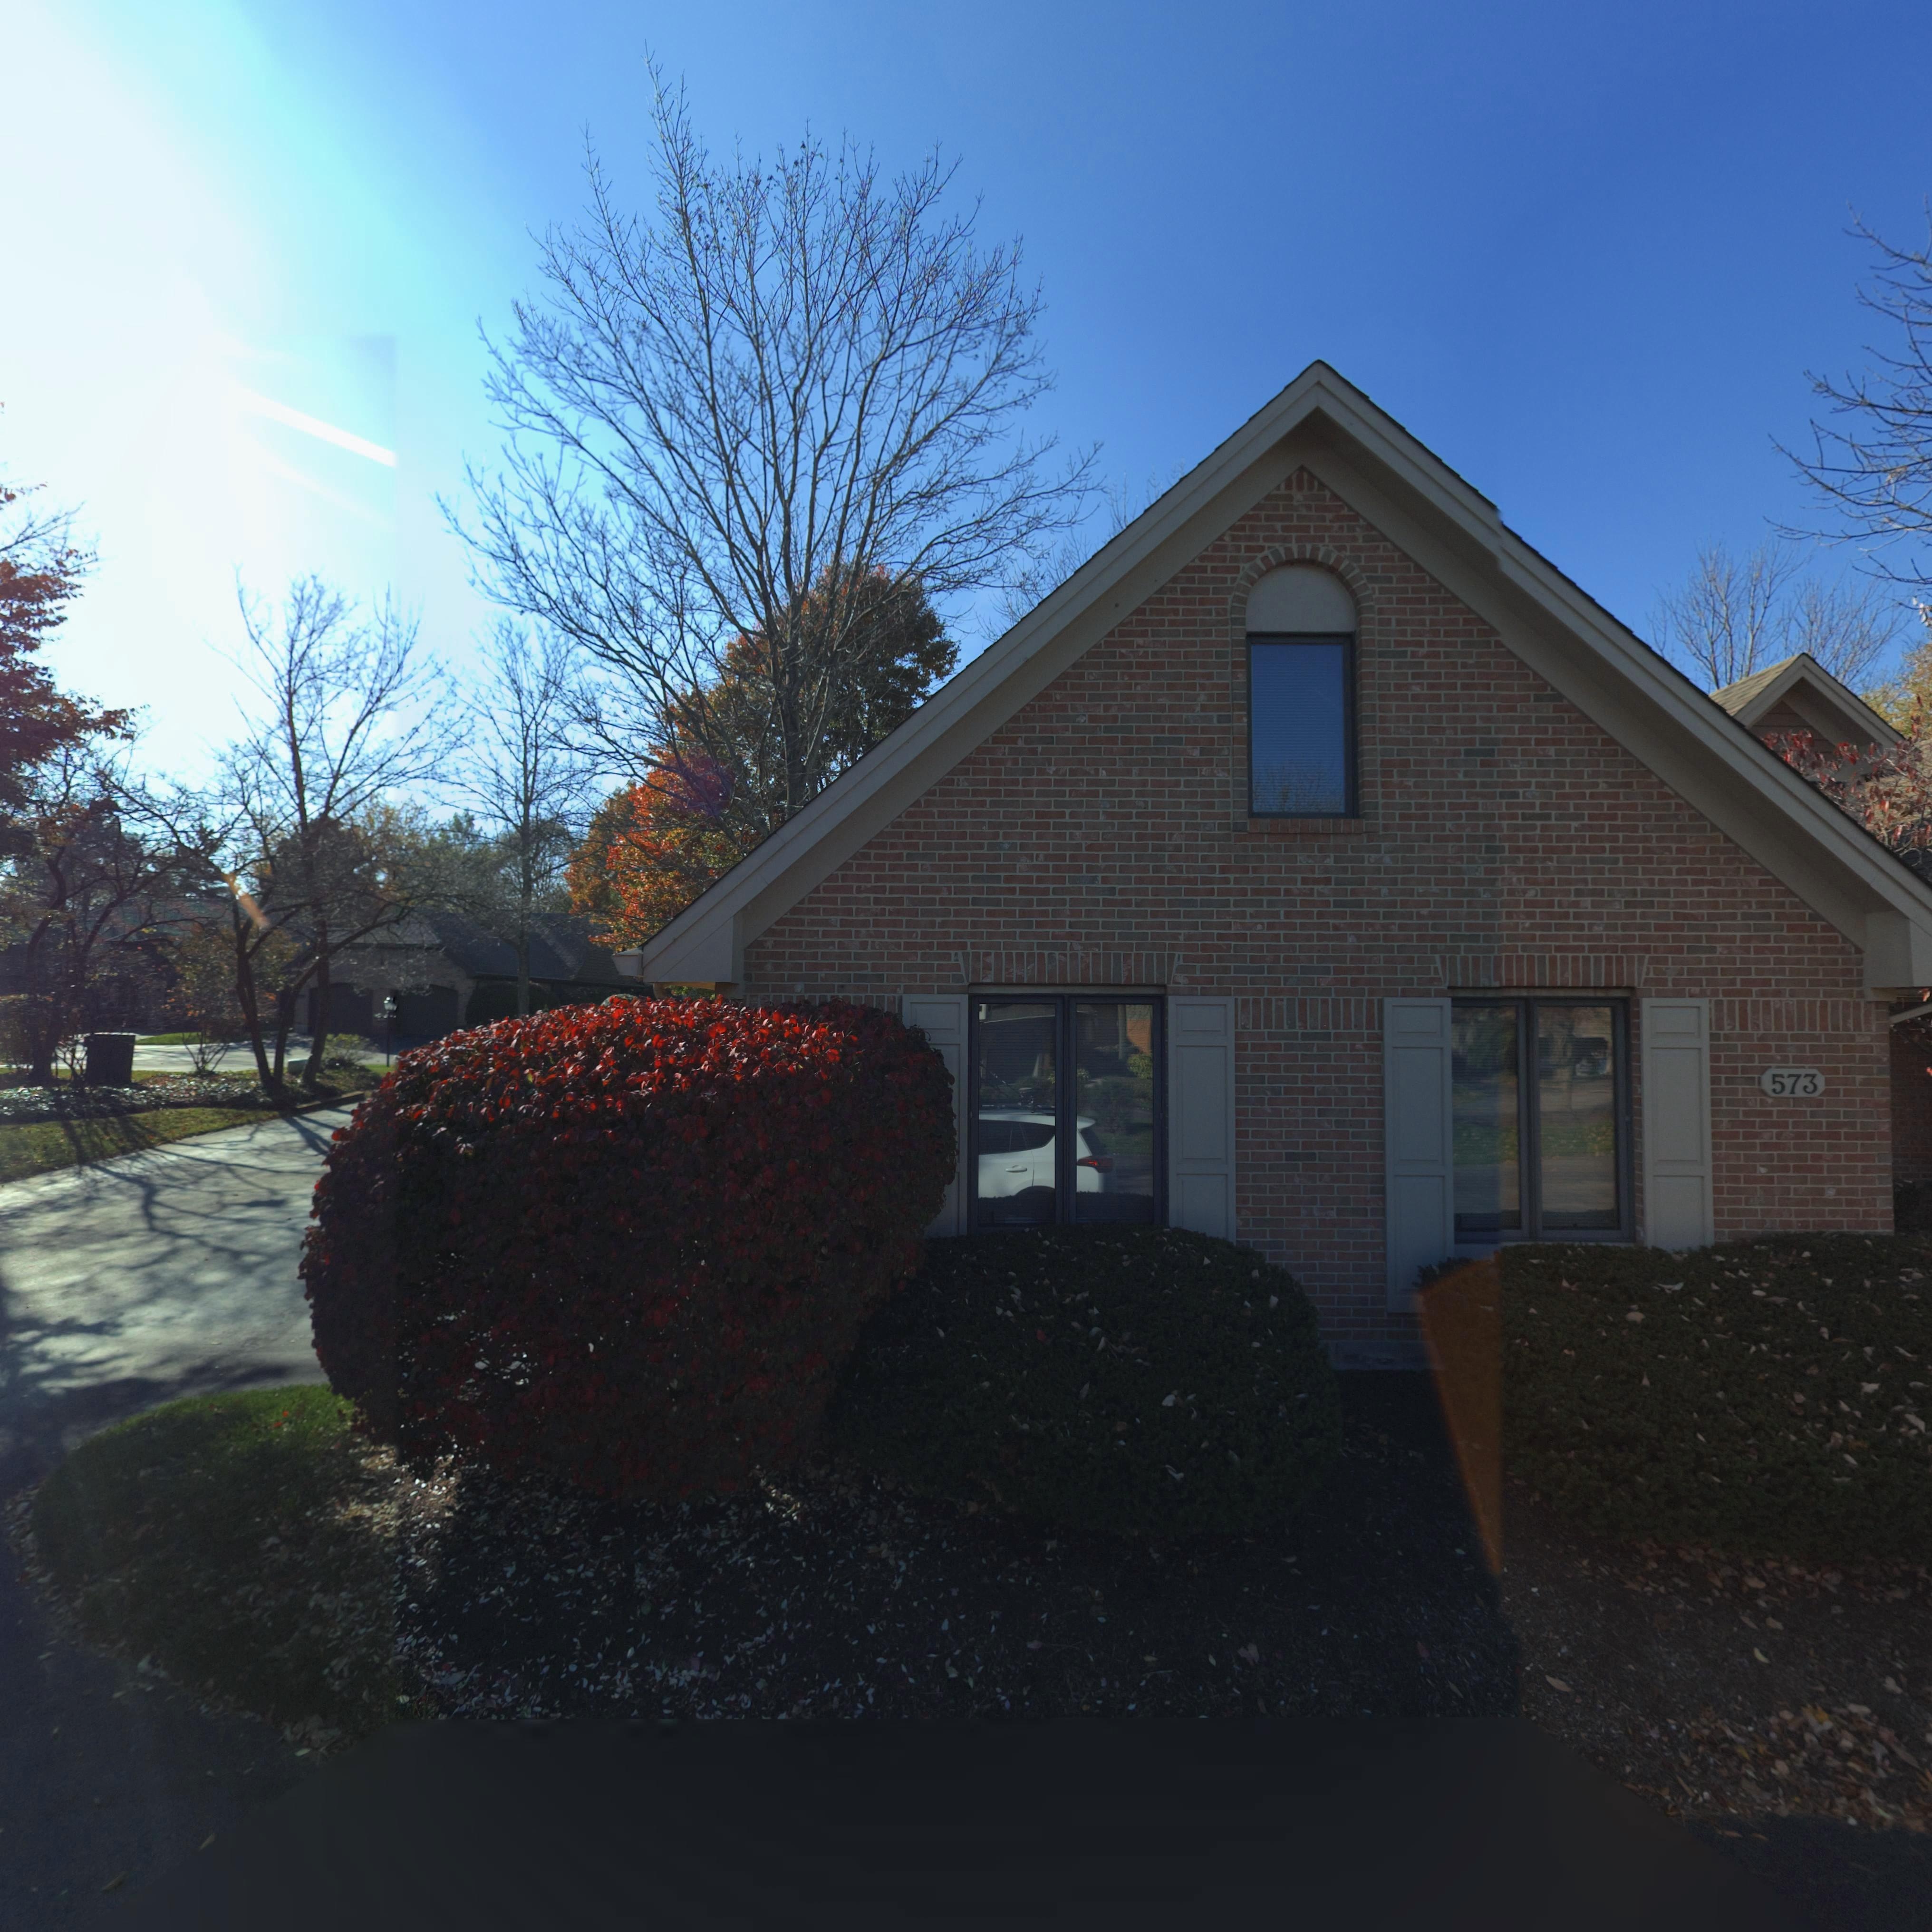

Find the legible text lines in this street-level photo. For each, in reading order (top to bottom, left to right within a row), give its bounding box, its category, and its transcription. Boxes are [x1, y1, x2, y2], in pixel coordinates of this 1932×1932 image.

[1770, 1072, 1820, 1096] StreetNumber: 573